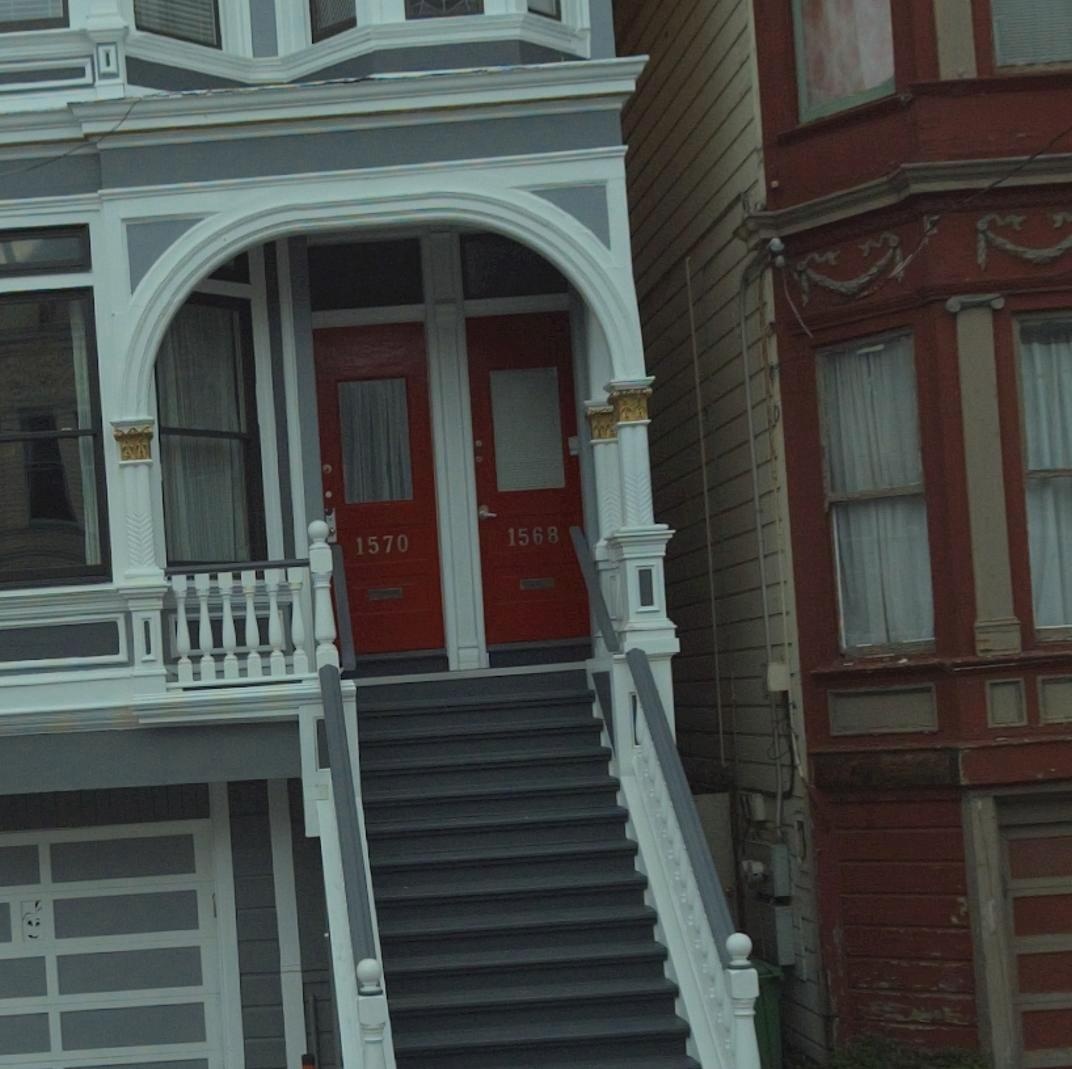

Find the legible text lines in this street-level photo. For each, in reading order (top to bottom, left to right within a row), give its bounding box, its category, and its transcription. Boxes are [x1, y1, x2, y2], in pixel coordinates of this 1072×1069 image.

[356, 533, 409, 556] StreetNumber: 1570
[505, 525, 560, 547] StreetNumber: 1568